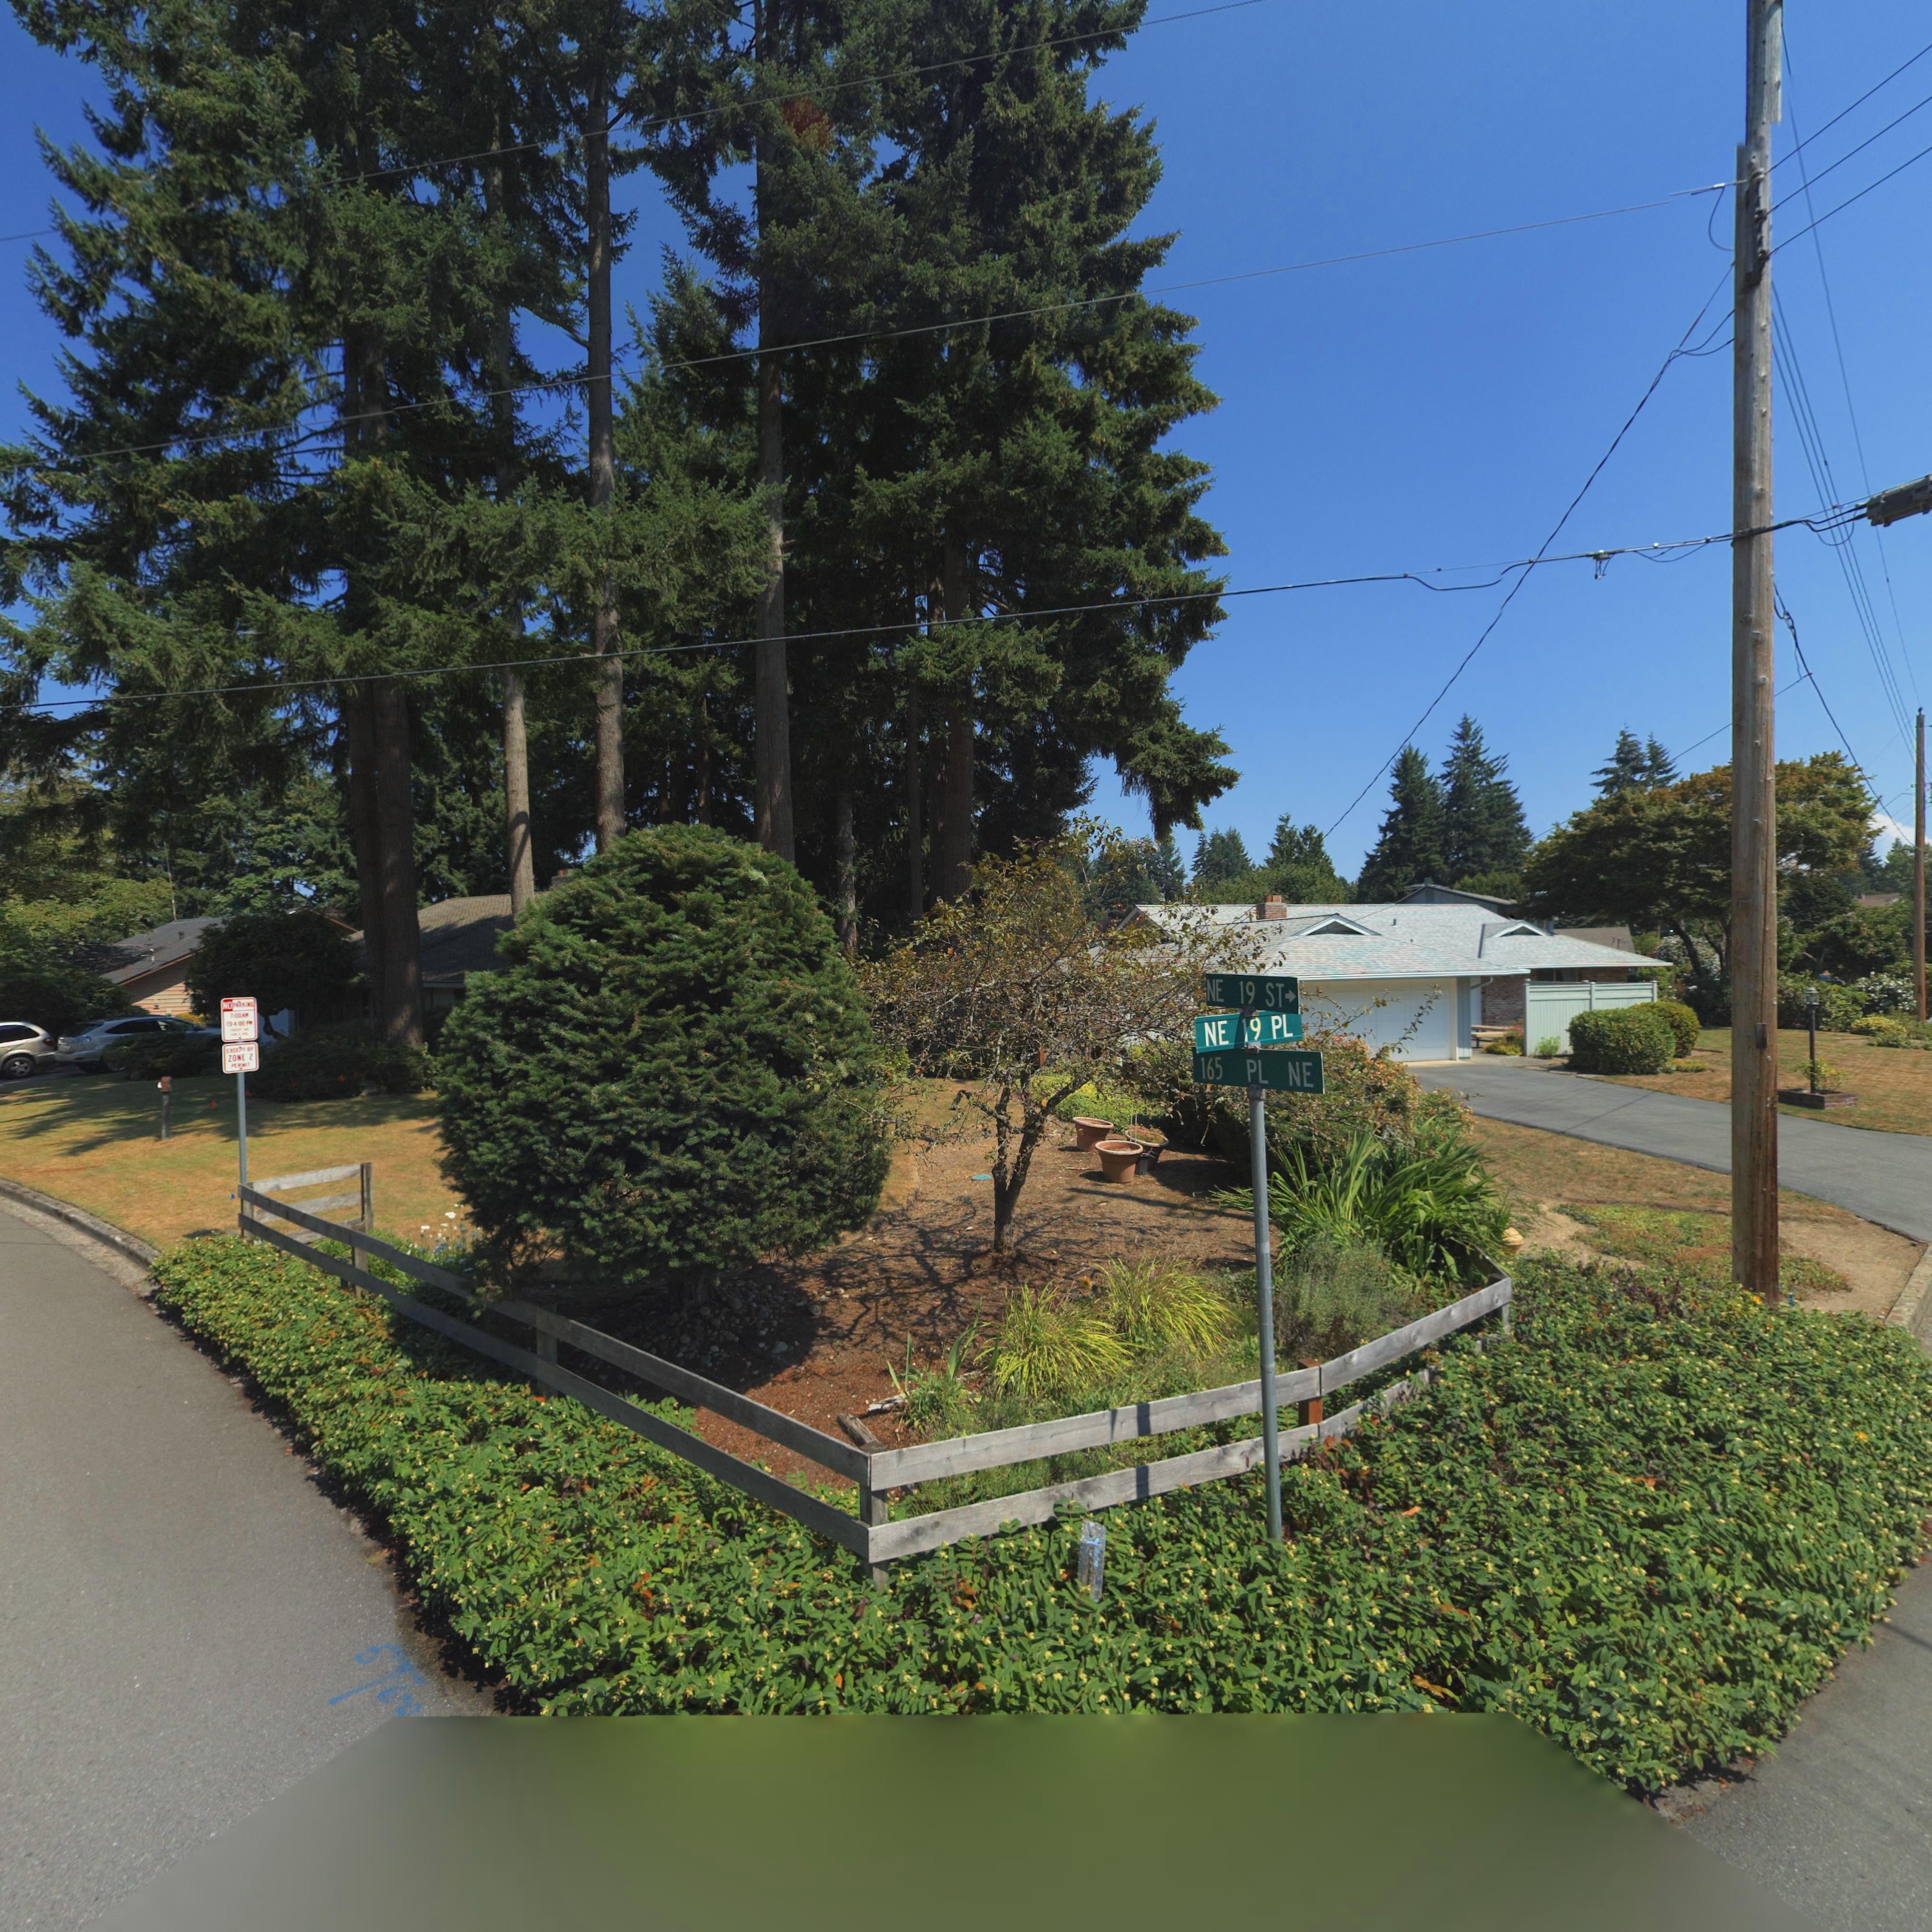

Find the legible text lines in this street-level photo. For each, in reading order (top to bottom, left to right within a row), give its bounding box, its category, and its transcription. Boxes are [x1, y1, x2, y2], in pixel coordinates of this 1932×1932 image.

[1207, 979, 1284, 1007] StreetName: NE 19 ST
[1204, 1014, 1293, 1047] StreetName: NE 19 PL
[1200, 1056, 1314, 1089] StreetName: 165 PL NE